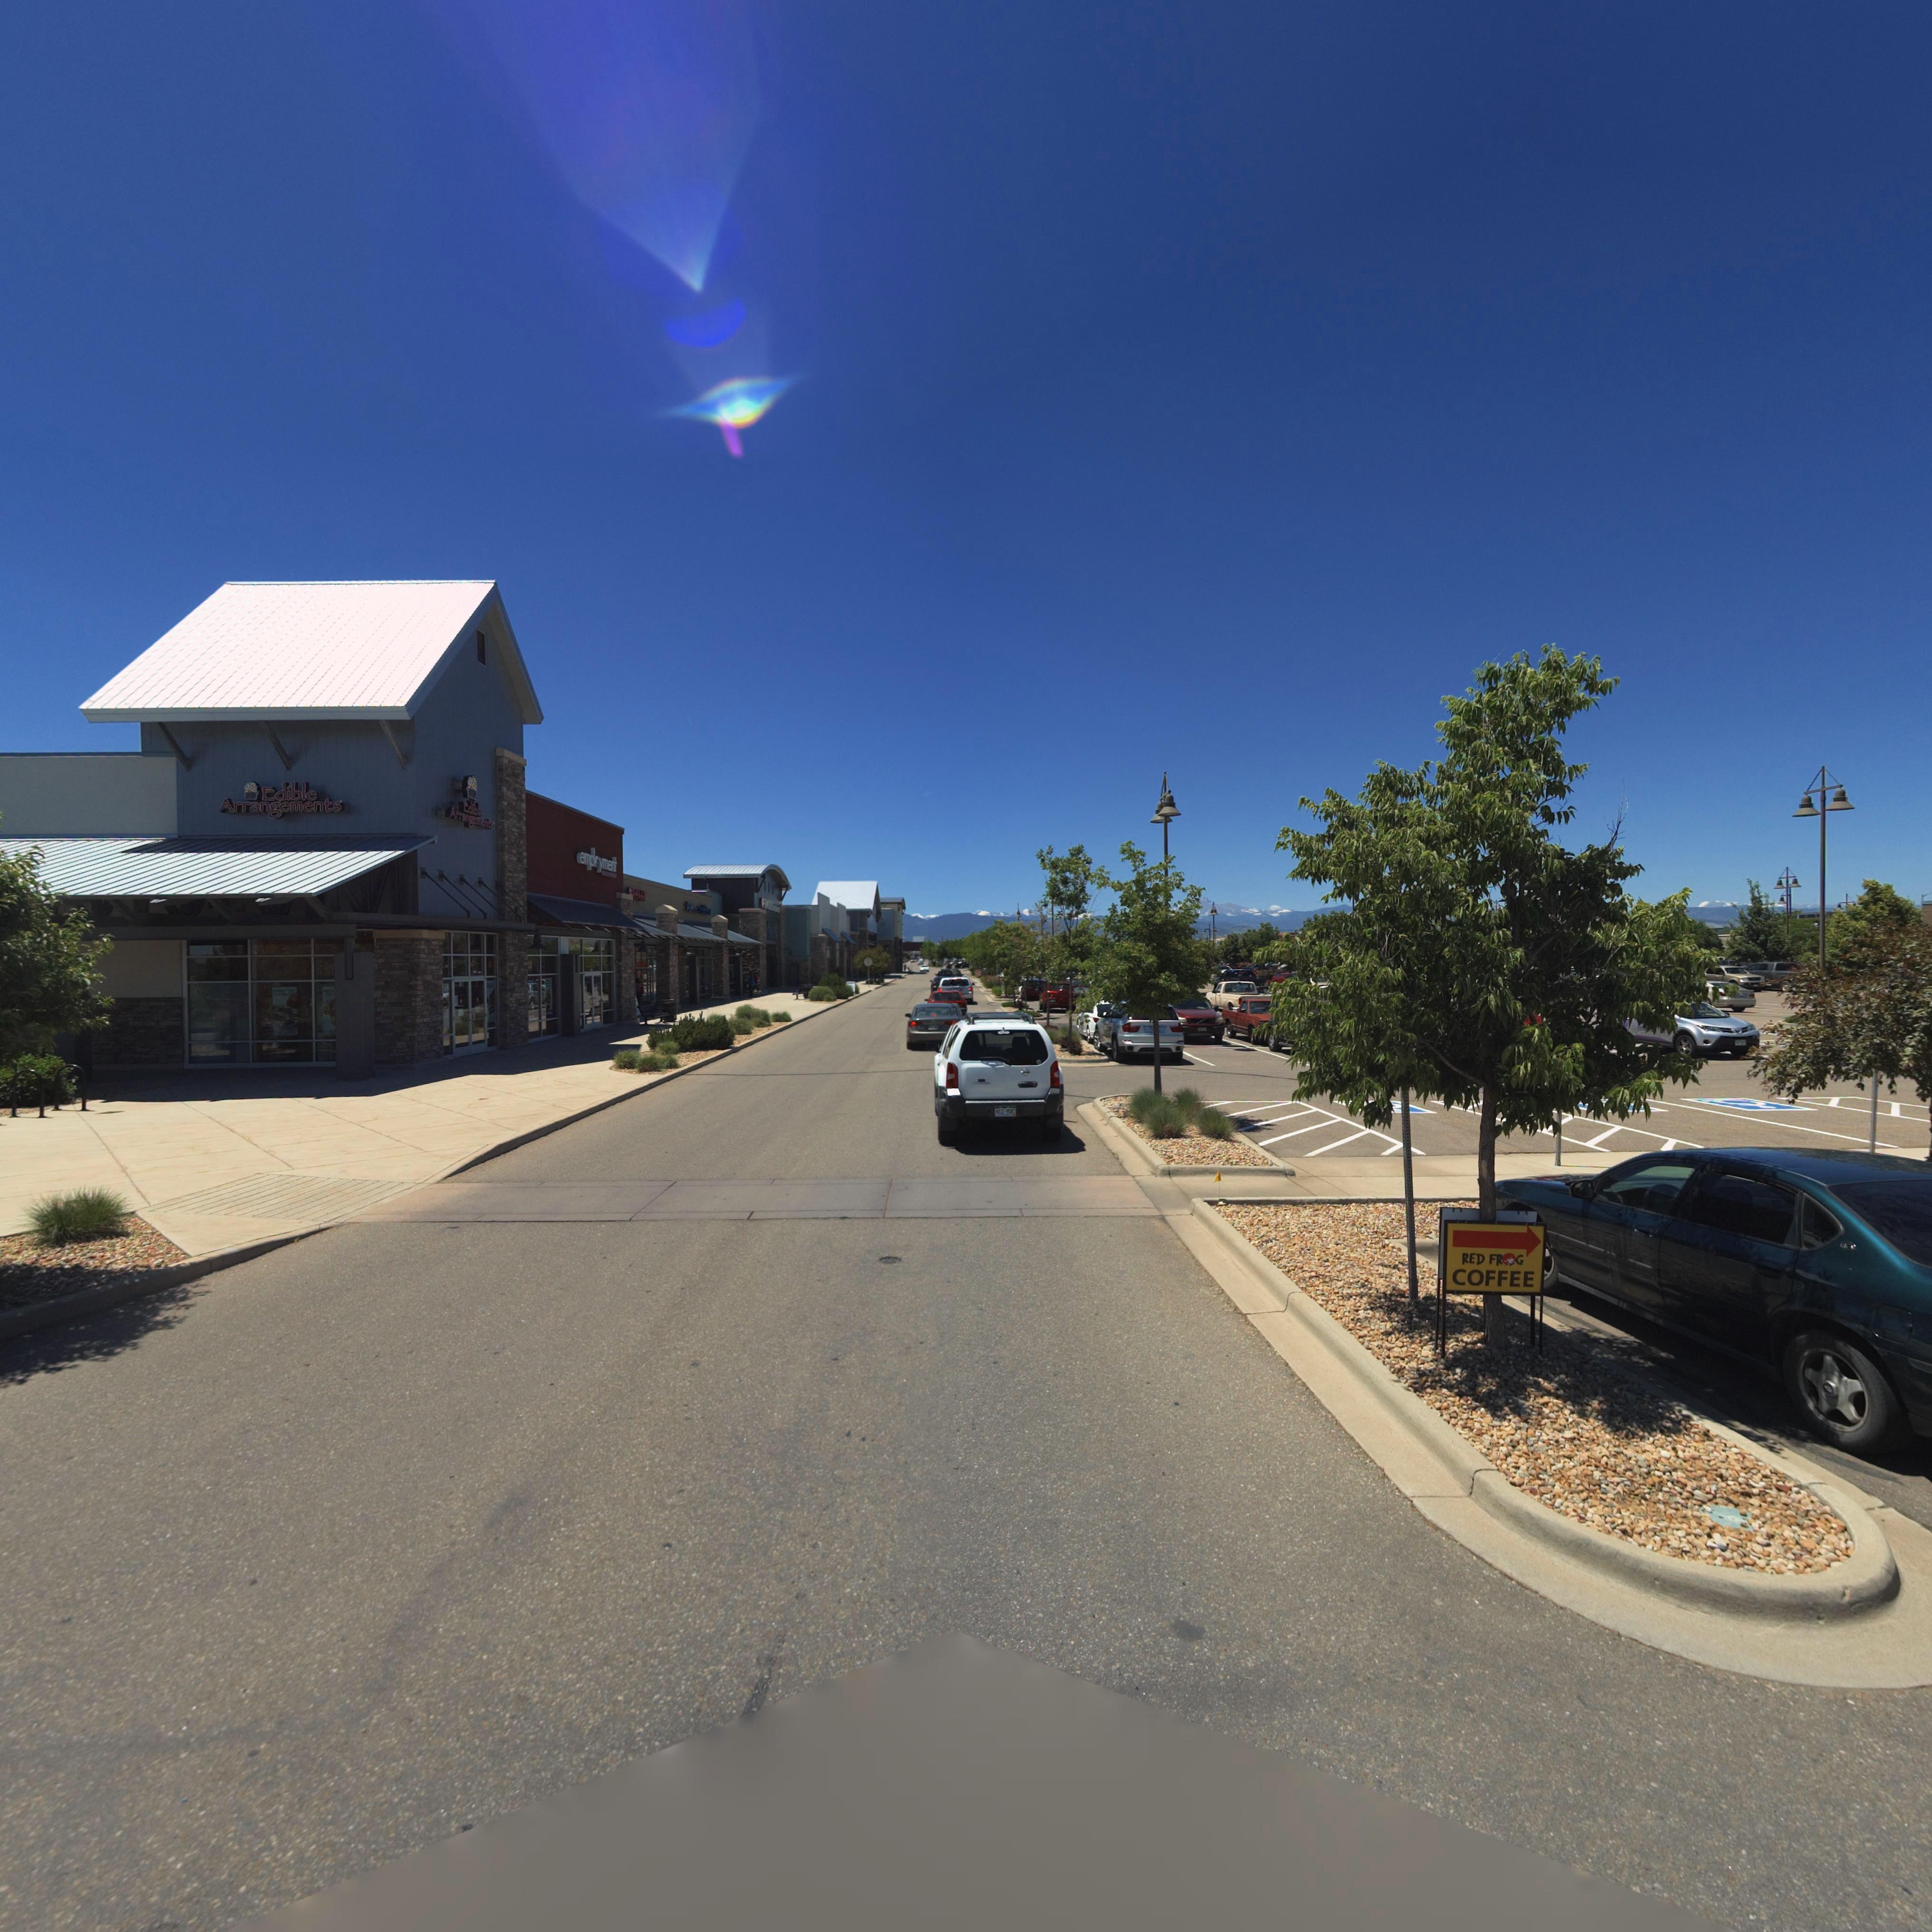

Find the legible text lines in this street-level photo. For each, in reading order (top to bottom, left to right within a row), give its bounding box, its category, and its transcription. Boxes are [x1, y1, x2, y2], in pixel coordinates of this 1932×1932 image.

[261, 779, 318, 801] BusinessName: Edible
[218, 795, 343, 820] BusinessName: Arrangements
[445, 806, 495, 830] BusinessName: Arrangements
[460, 799, 483, 817] BusinessName: Edible
[575, 846, 618, 874] BusinessName: employment
[632, 887, 647, 897] BusinessName: SALLY
[685, 900, 711, 915] BusinessName: A*******
[1461, 1251, 1524, 1266] BusinessName: RED FR*G
[1451, 1267, 1536, 1288] BusinessName: COFFEE